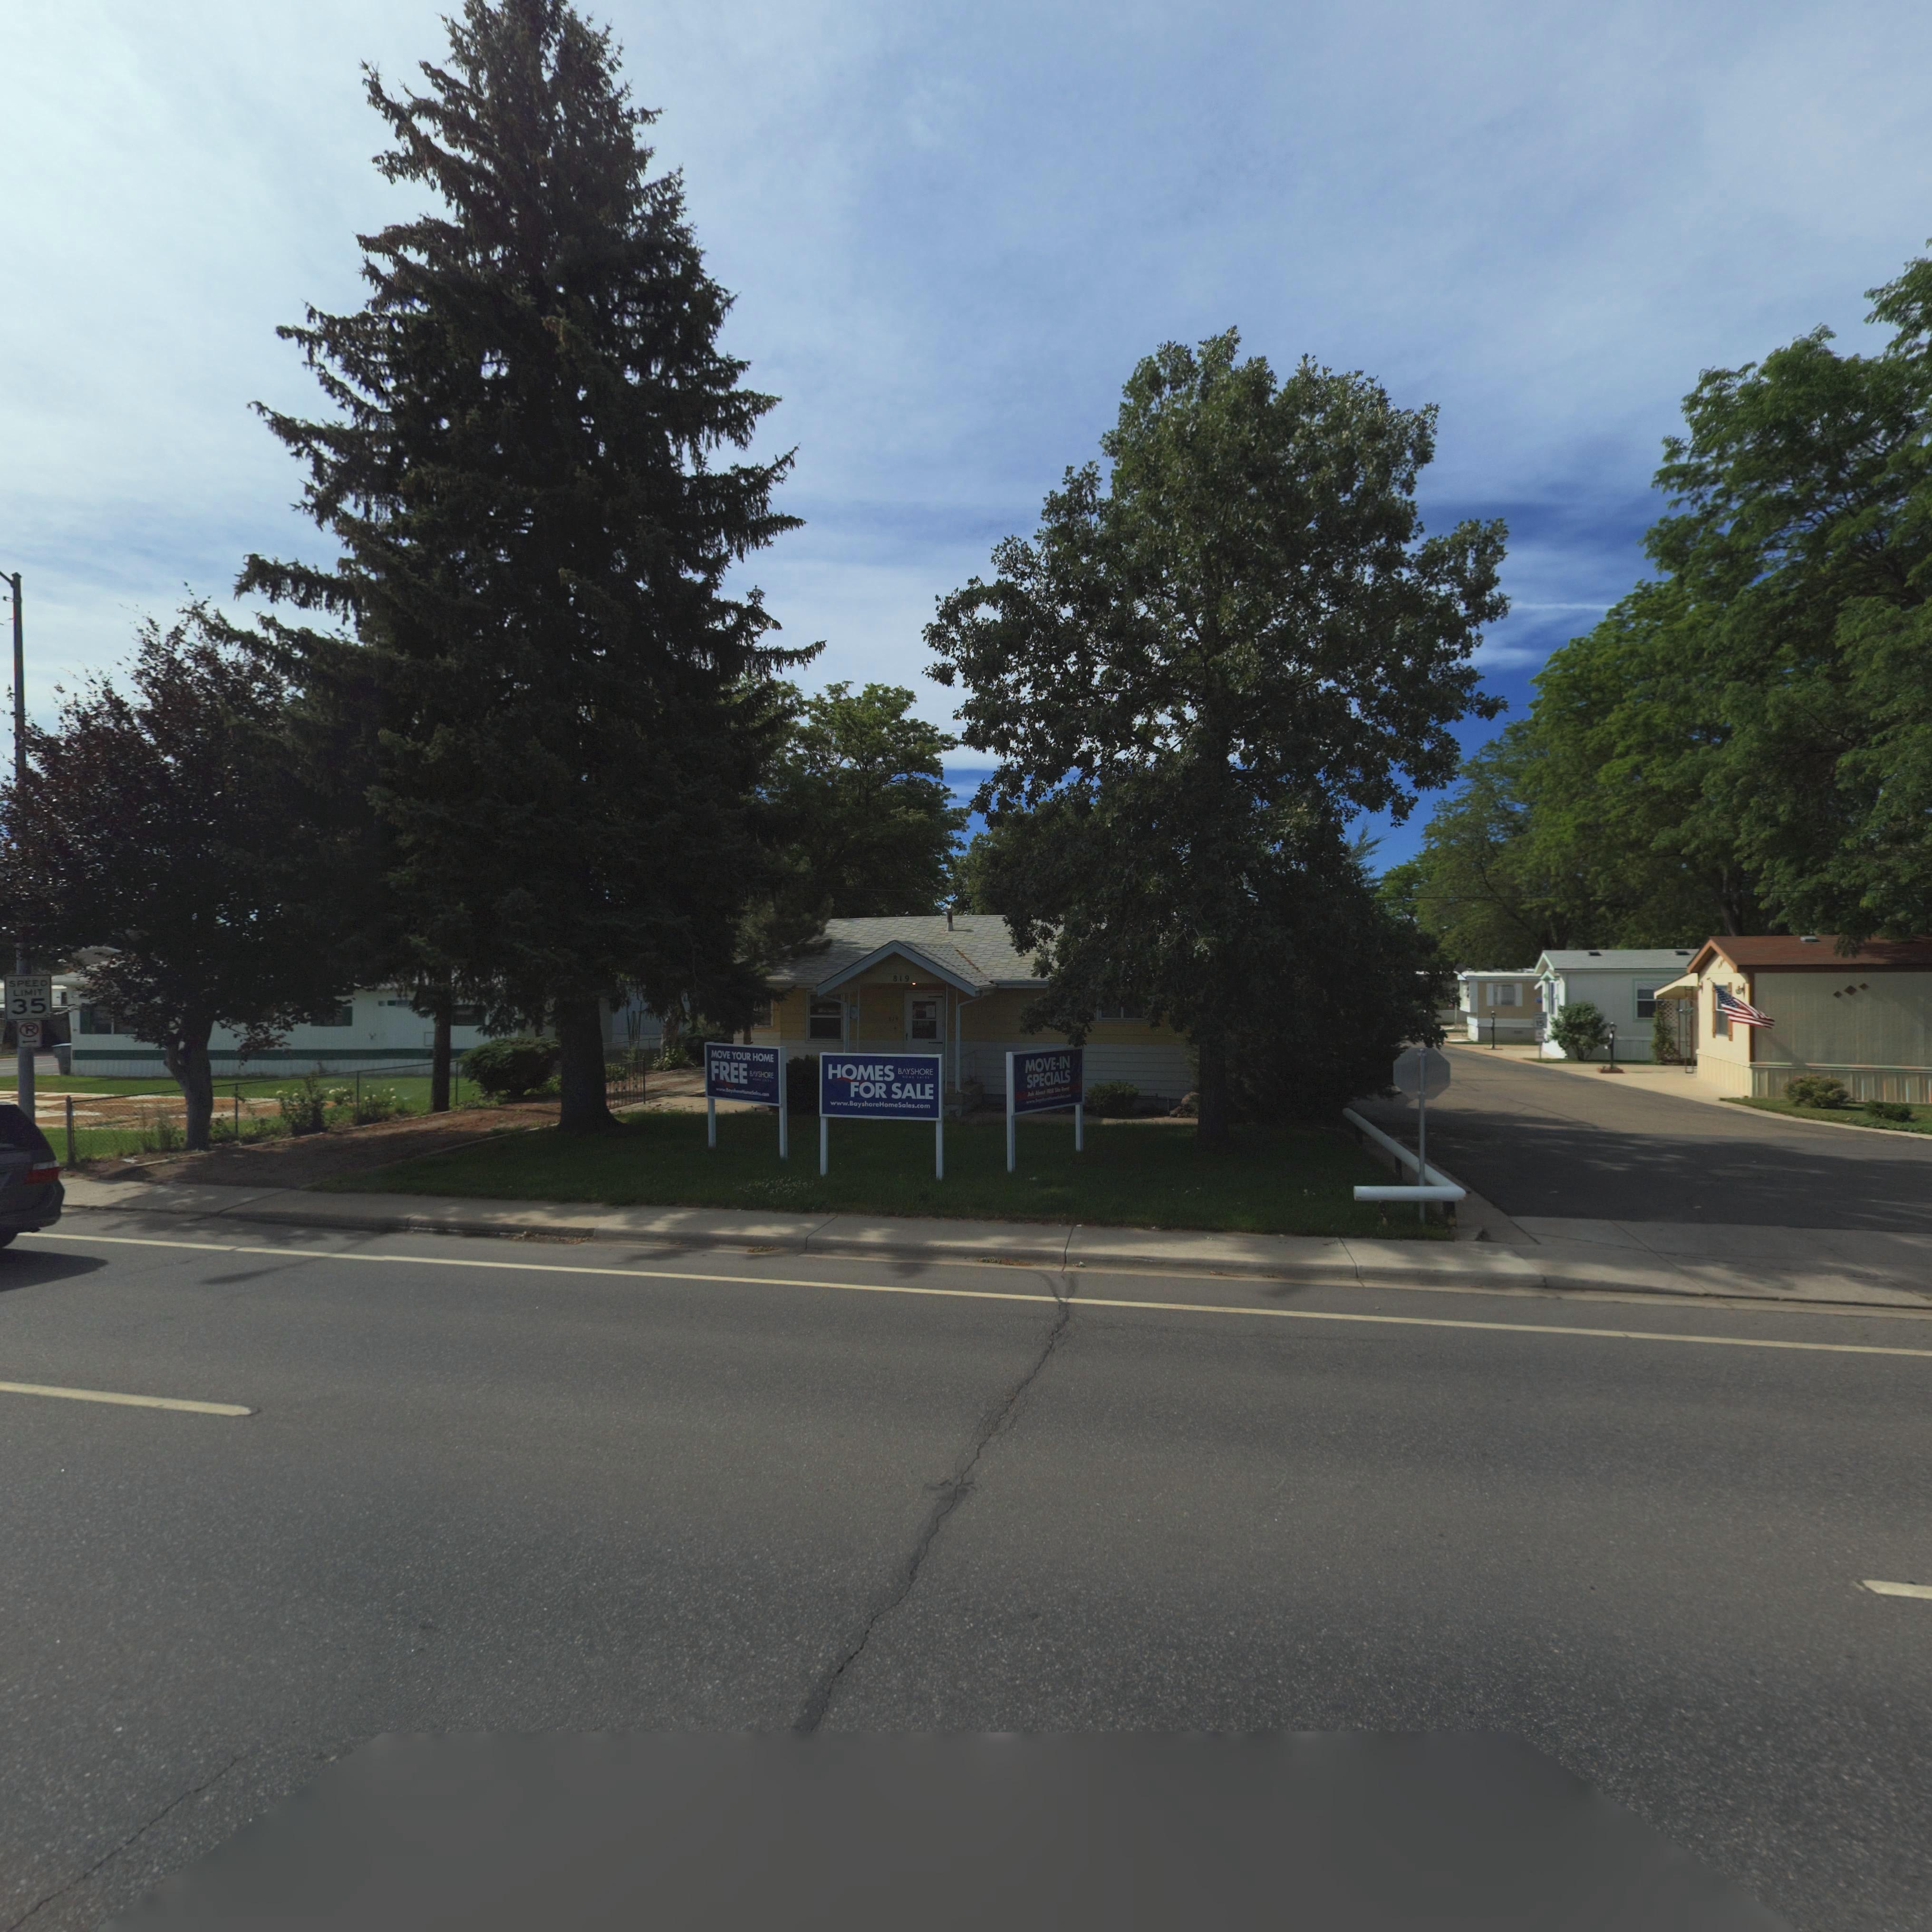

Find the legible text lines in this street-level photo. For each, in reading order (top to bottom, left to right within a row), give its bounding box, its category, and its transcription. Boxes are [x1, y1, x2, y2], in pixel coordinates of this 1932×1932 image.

[893, 975, 909, 982] StreetNumber: 819
[888, 1015, 898, 1022] StreetNumber: 819